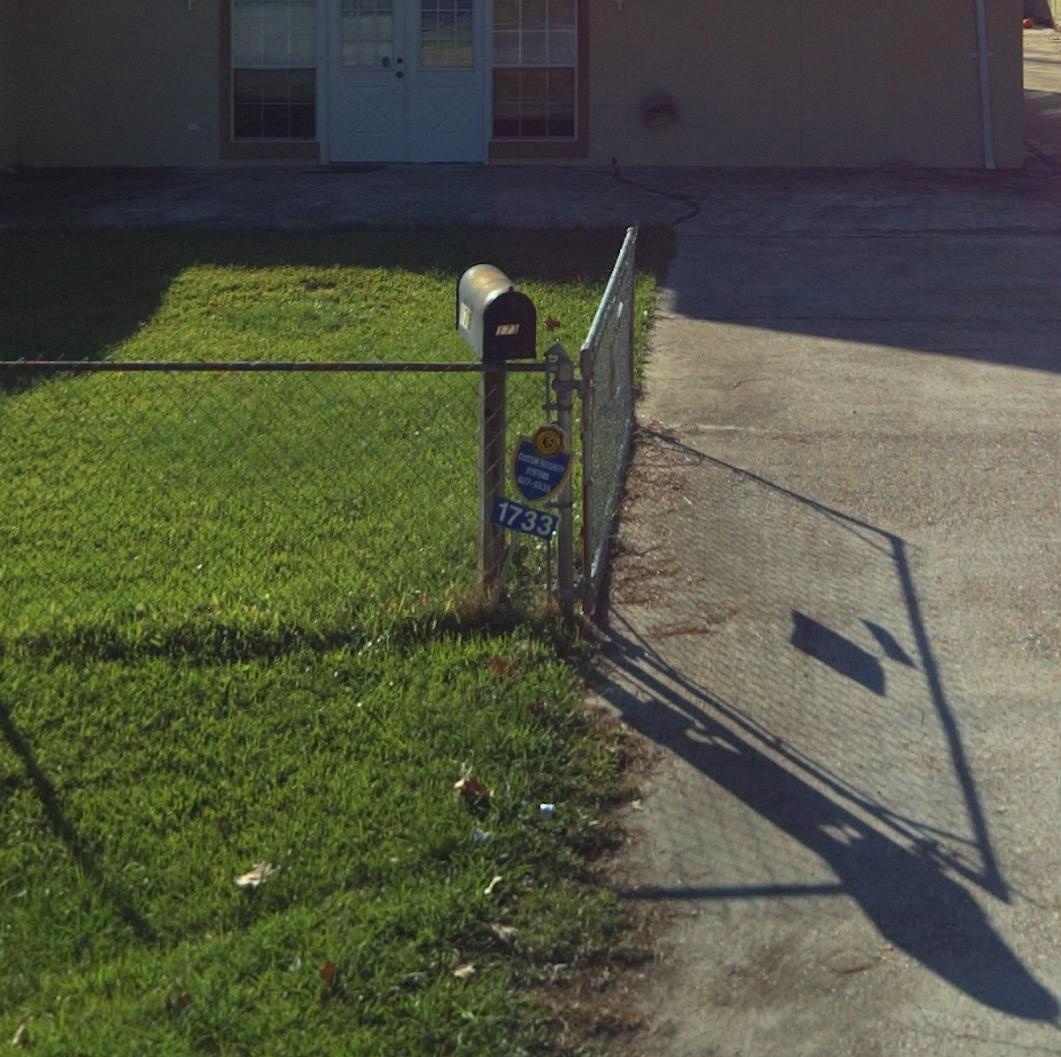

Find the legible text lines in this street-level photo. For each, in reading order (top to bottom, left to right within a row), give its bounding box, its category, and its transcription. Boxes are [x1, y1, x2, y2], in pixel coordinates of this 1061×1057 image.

[495, 324, 520, 335] StreetNumber: 173
[492, 499, 556, 537] StreetNumber: 1733